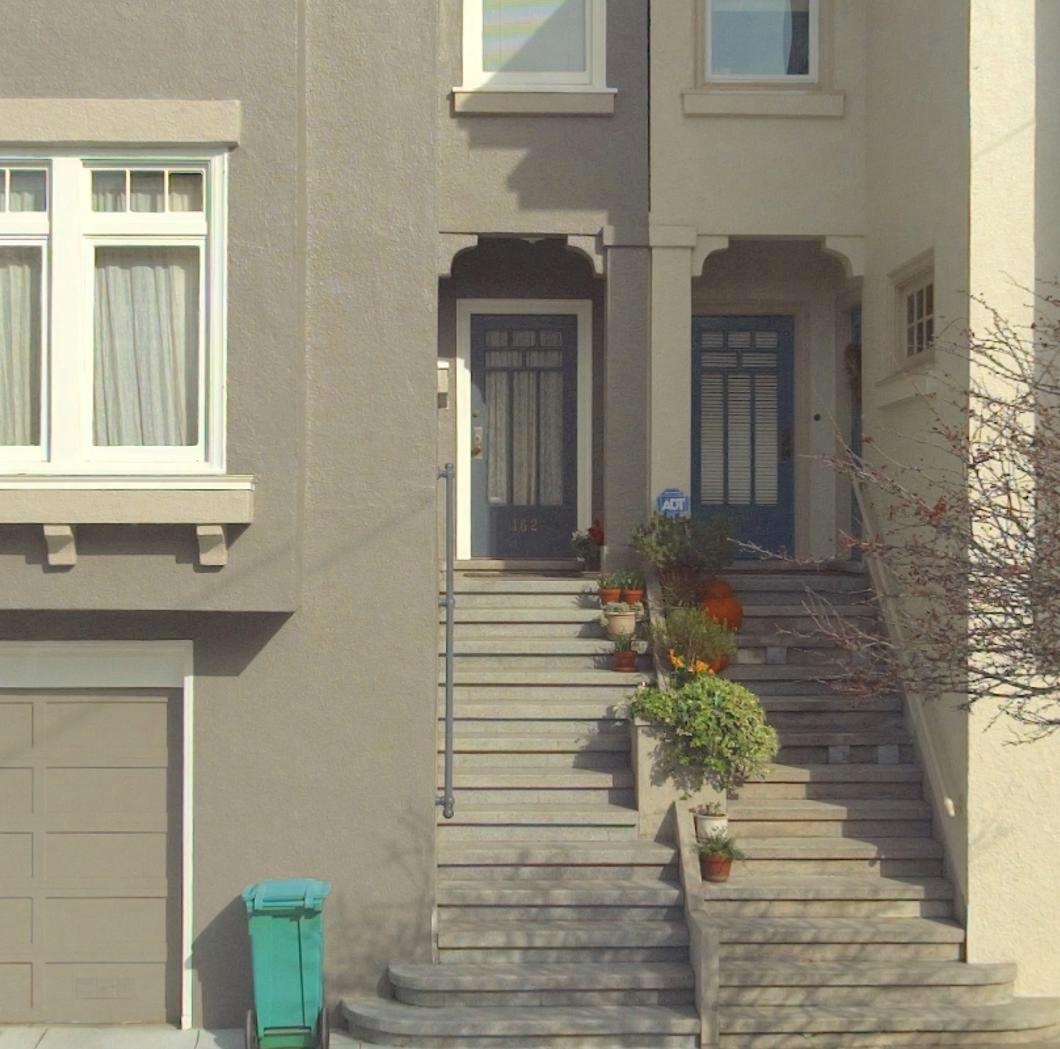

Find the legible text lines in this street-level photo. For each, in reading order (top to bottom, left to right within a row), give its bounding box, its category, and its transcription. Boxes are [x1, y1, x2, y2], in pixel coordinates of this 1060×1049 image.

[659, 497, 688, 512] None: ADT
[511, 517, 539, 533] StreetNumber: 162